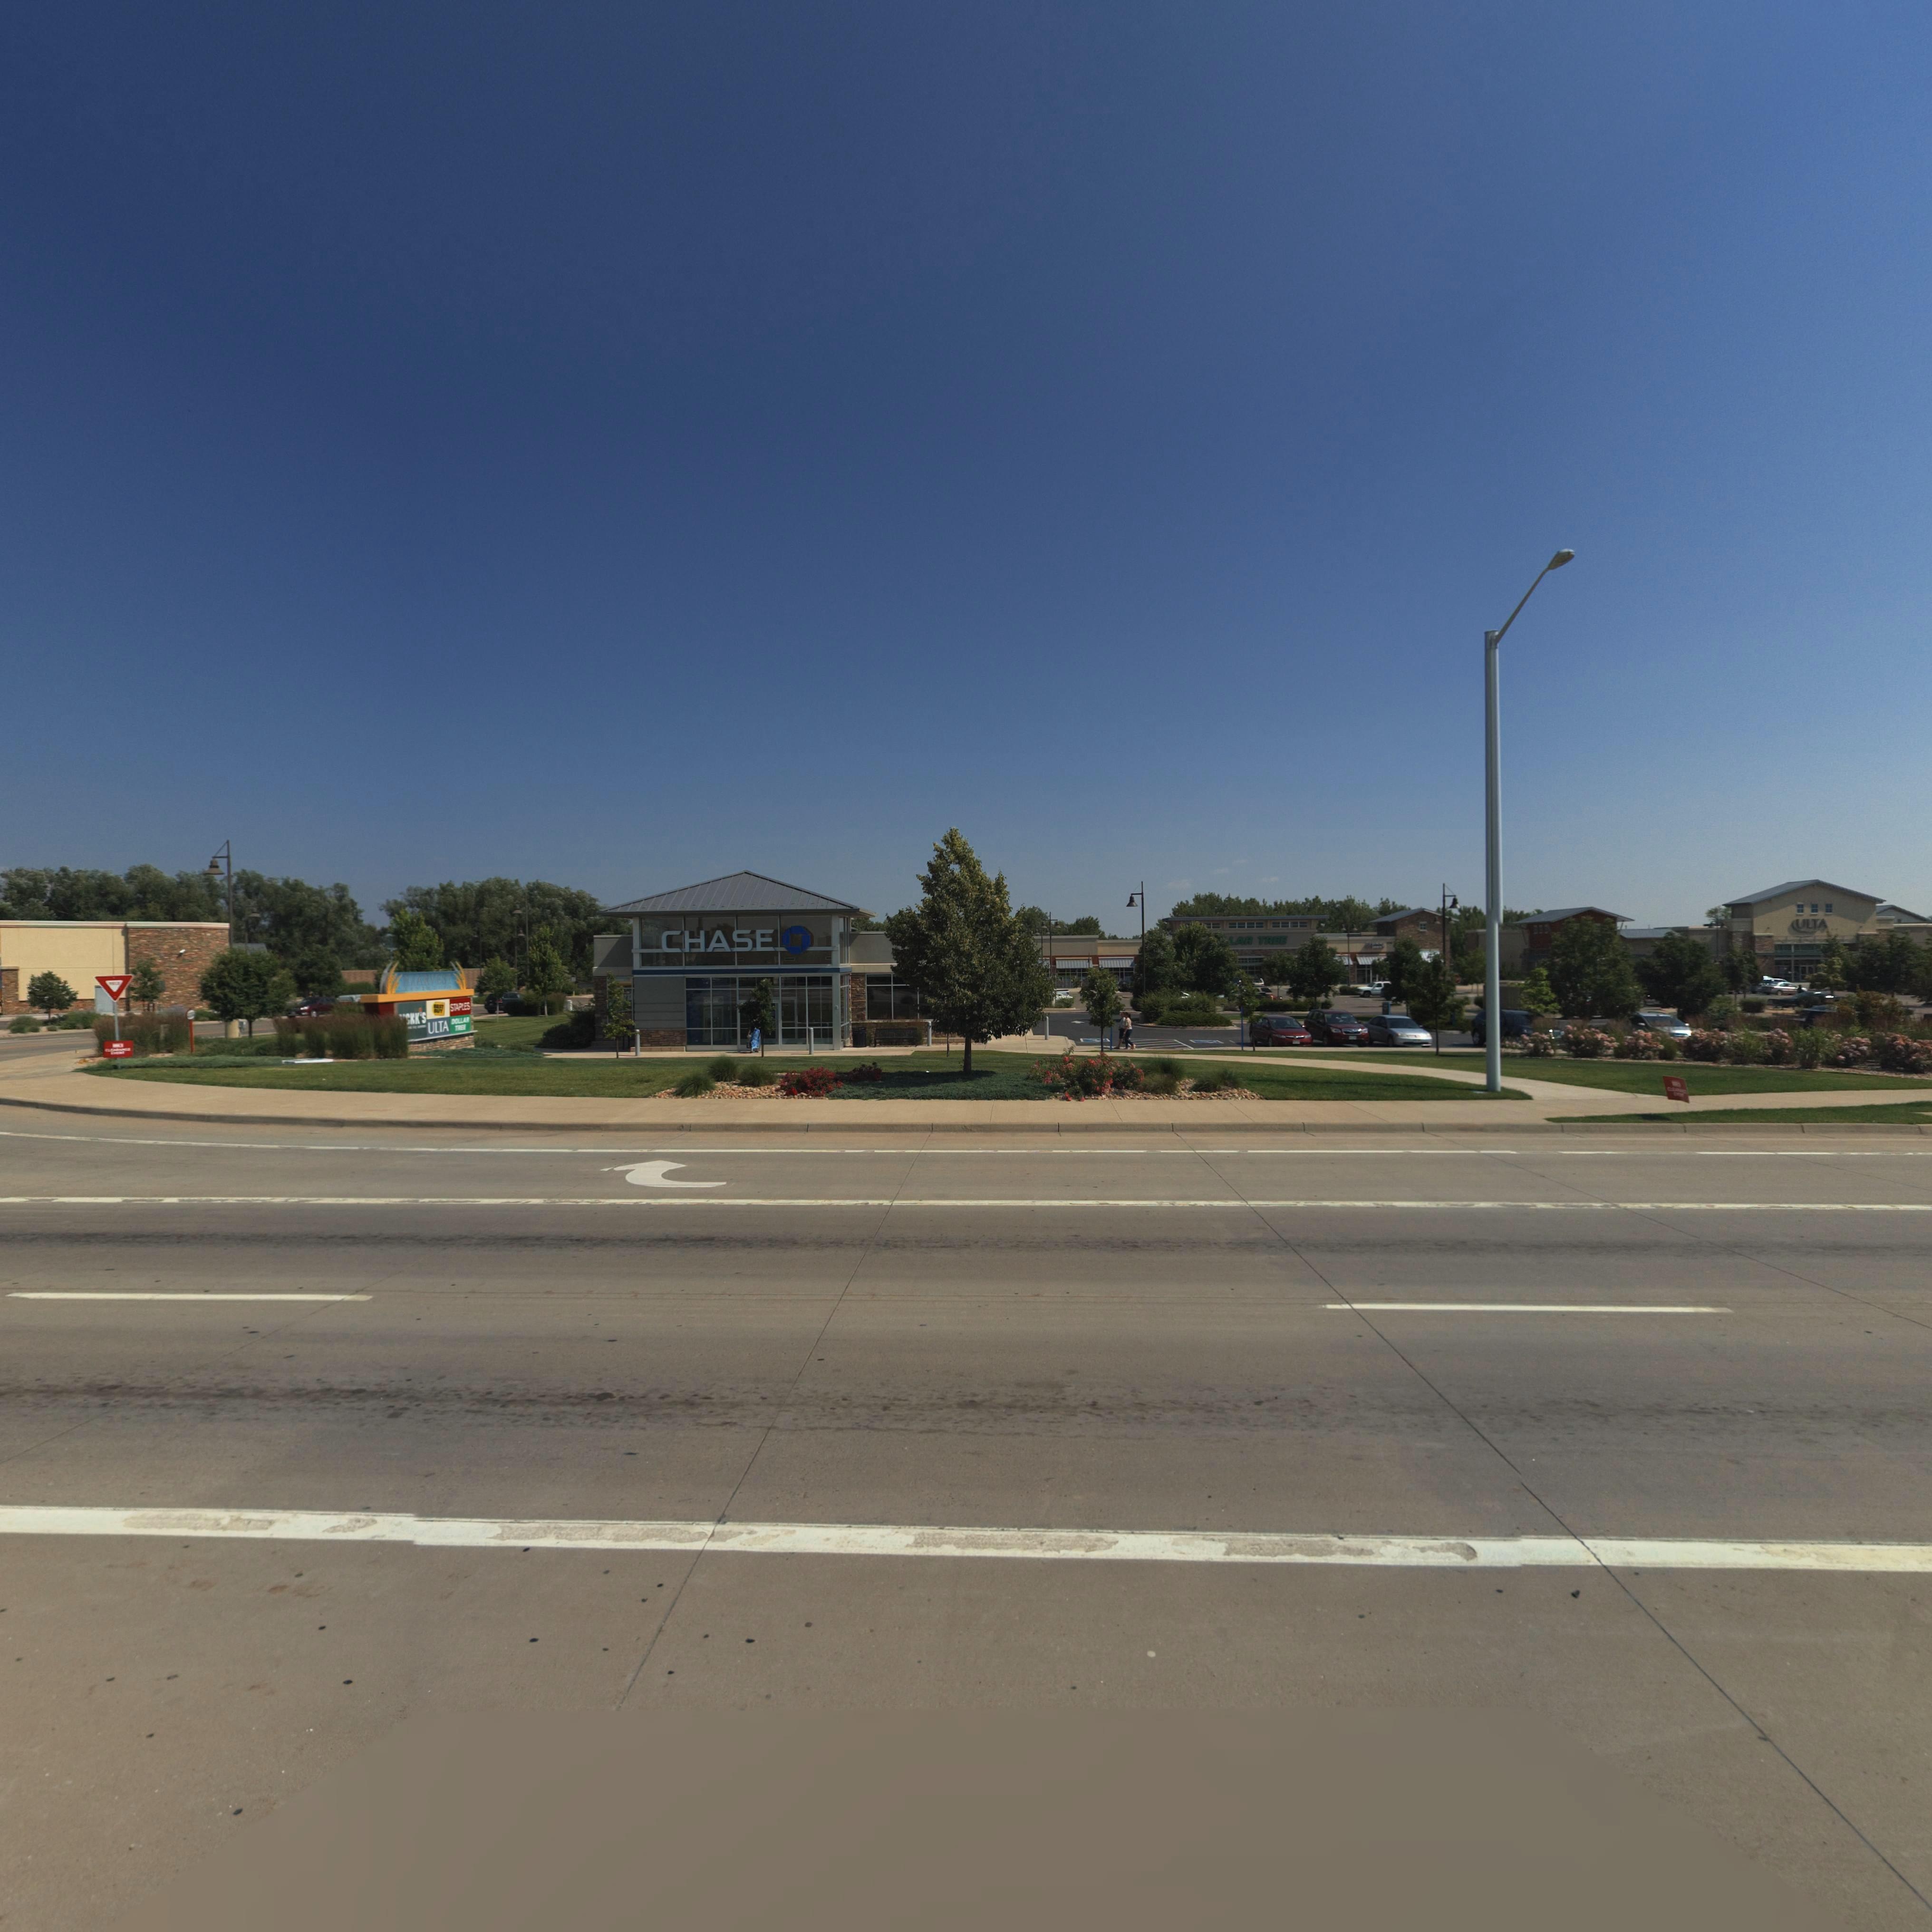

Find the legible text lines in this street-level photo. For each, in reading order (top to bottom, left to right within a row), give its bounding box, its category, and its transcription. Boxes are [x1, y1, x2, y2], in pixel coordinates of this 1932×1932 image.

[1796, 918, 1828, 929] BusinessName: ULTA
[661, 929, 776, 953] BusinessName: CHASE
[1228, 935, 1288, 945] BusinessName: LAR TREE
[433, 1008, 443, 1013] BusinessName: BUY
[434, 1004, 444, 1009] BusinessName: BEST
[450, 1001, 471, 1012] BusinessName: STAPLES
[398, 1011, 426, 1025] None: *CKK*S
[451, 1016, 469, 1024] BusinessName: DOLLAR
[428, 1020, 449, 1034] BusinessName: ULTA
[454, 1024, 466, 1031] BusinessName: TREE